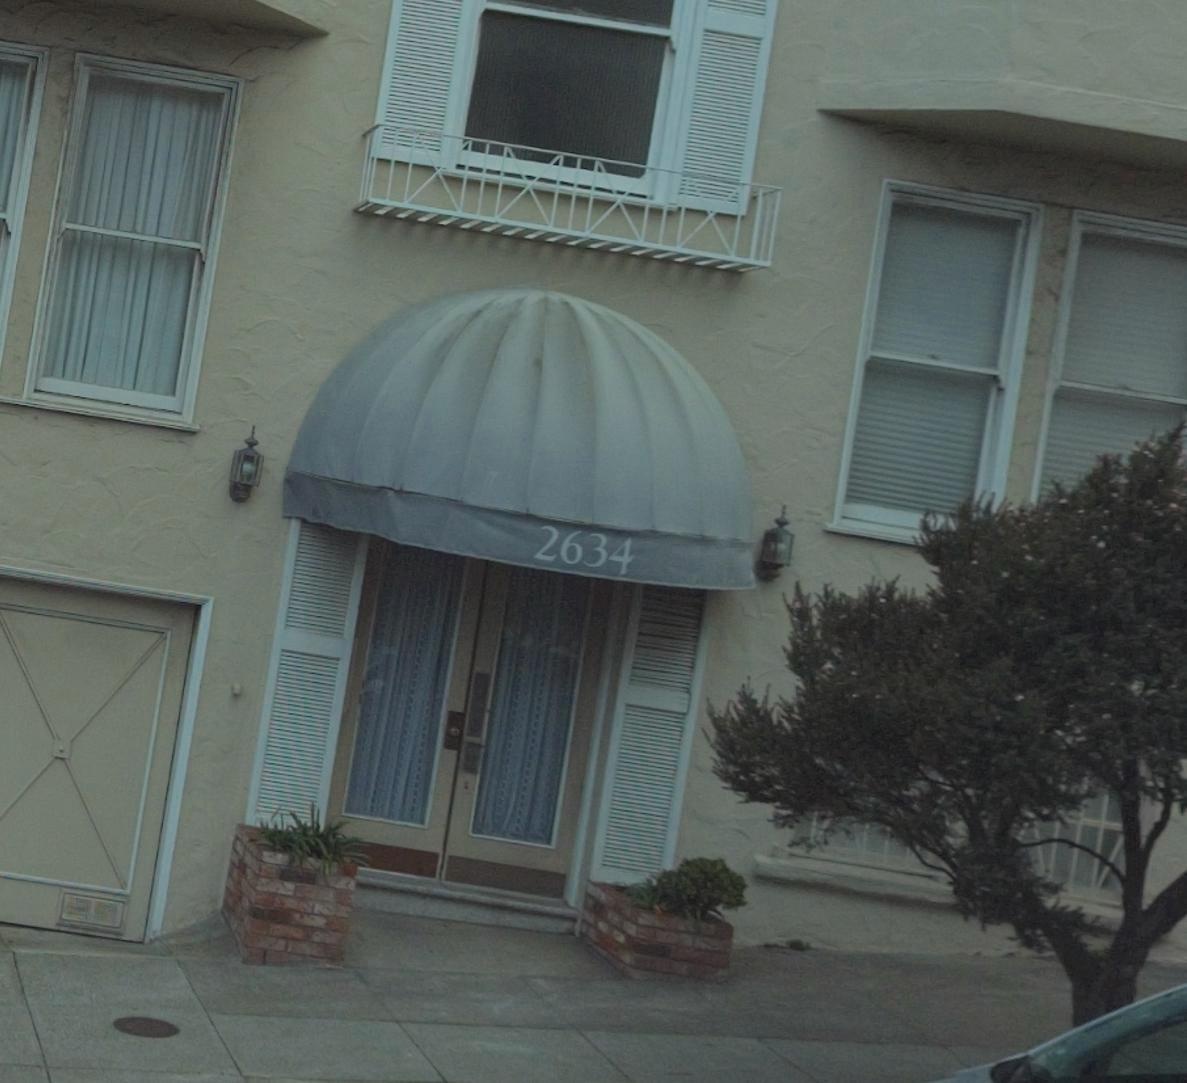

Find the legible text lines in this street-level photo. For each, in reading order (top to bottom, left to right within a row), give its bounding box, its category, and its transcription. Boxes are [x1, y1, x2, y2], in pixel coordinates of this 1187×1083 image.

[528, 522, 638, 579] StreetNumber: 2634